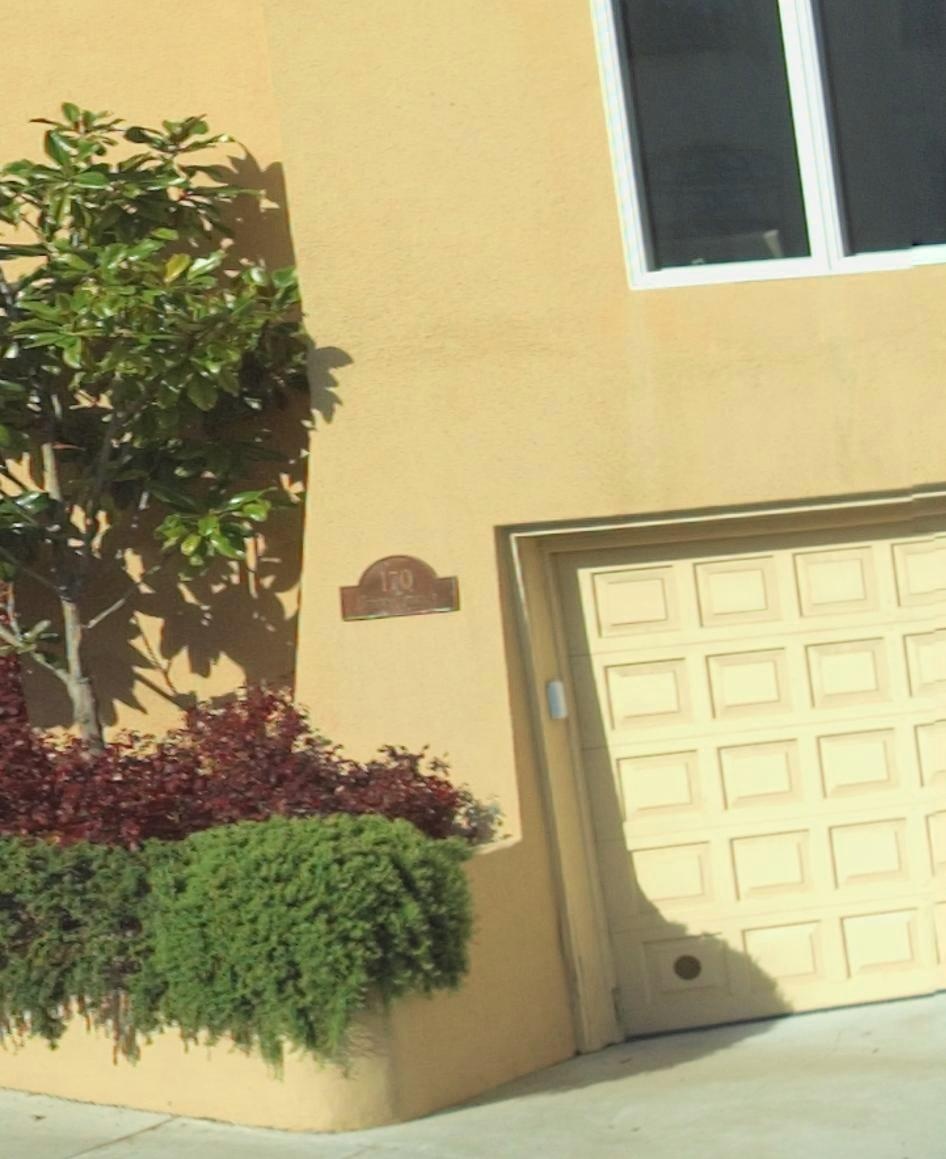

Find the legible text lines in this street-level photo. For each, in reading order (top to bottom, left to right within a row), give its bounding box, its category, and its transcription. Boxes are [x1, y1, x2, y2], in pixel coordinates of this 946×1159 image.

[379, 567, 414, 593] StreetNumber: 170